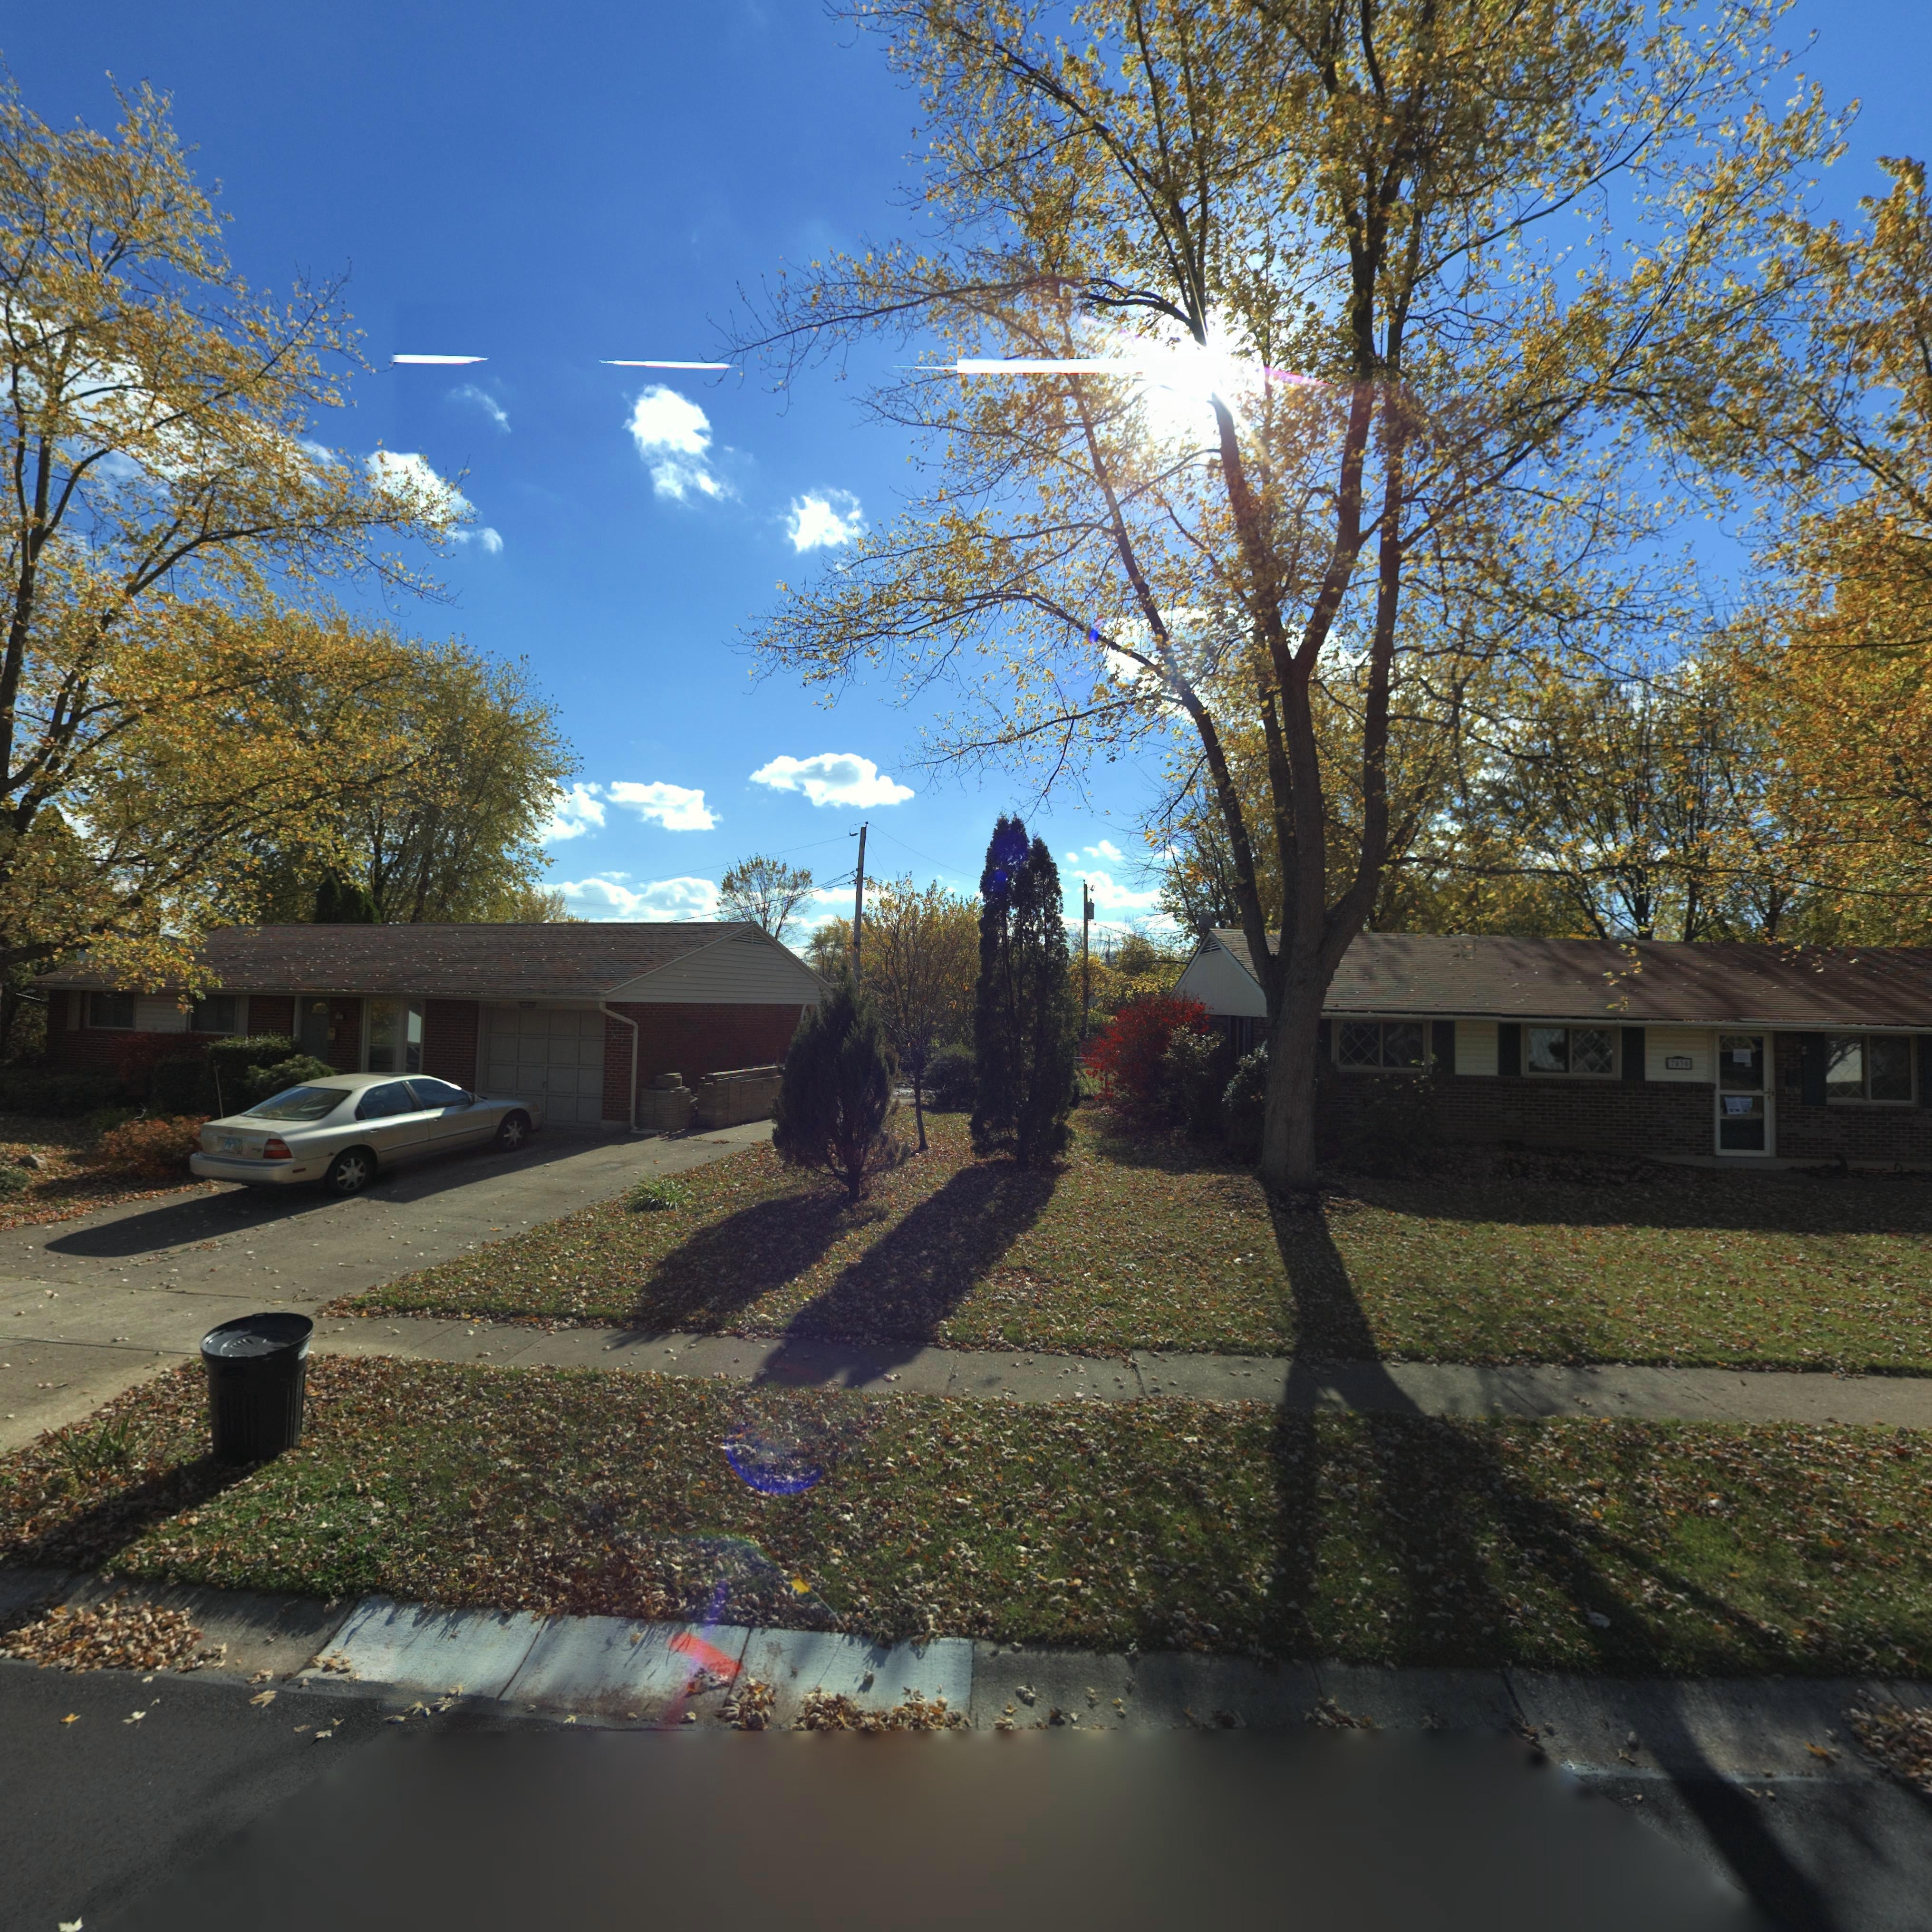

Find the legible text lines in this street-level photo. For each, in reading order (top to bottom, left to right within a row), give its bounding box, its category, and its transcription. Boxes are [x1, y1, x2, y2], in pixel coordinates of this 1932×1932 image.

[1670, 1059, 1689, 1068] StreetNumber: 70*0